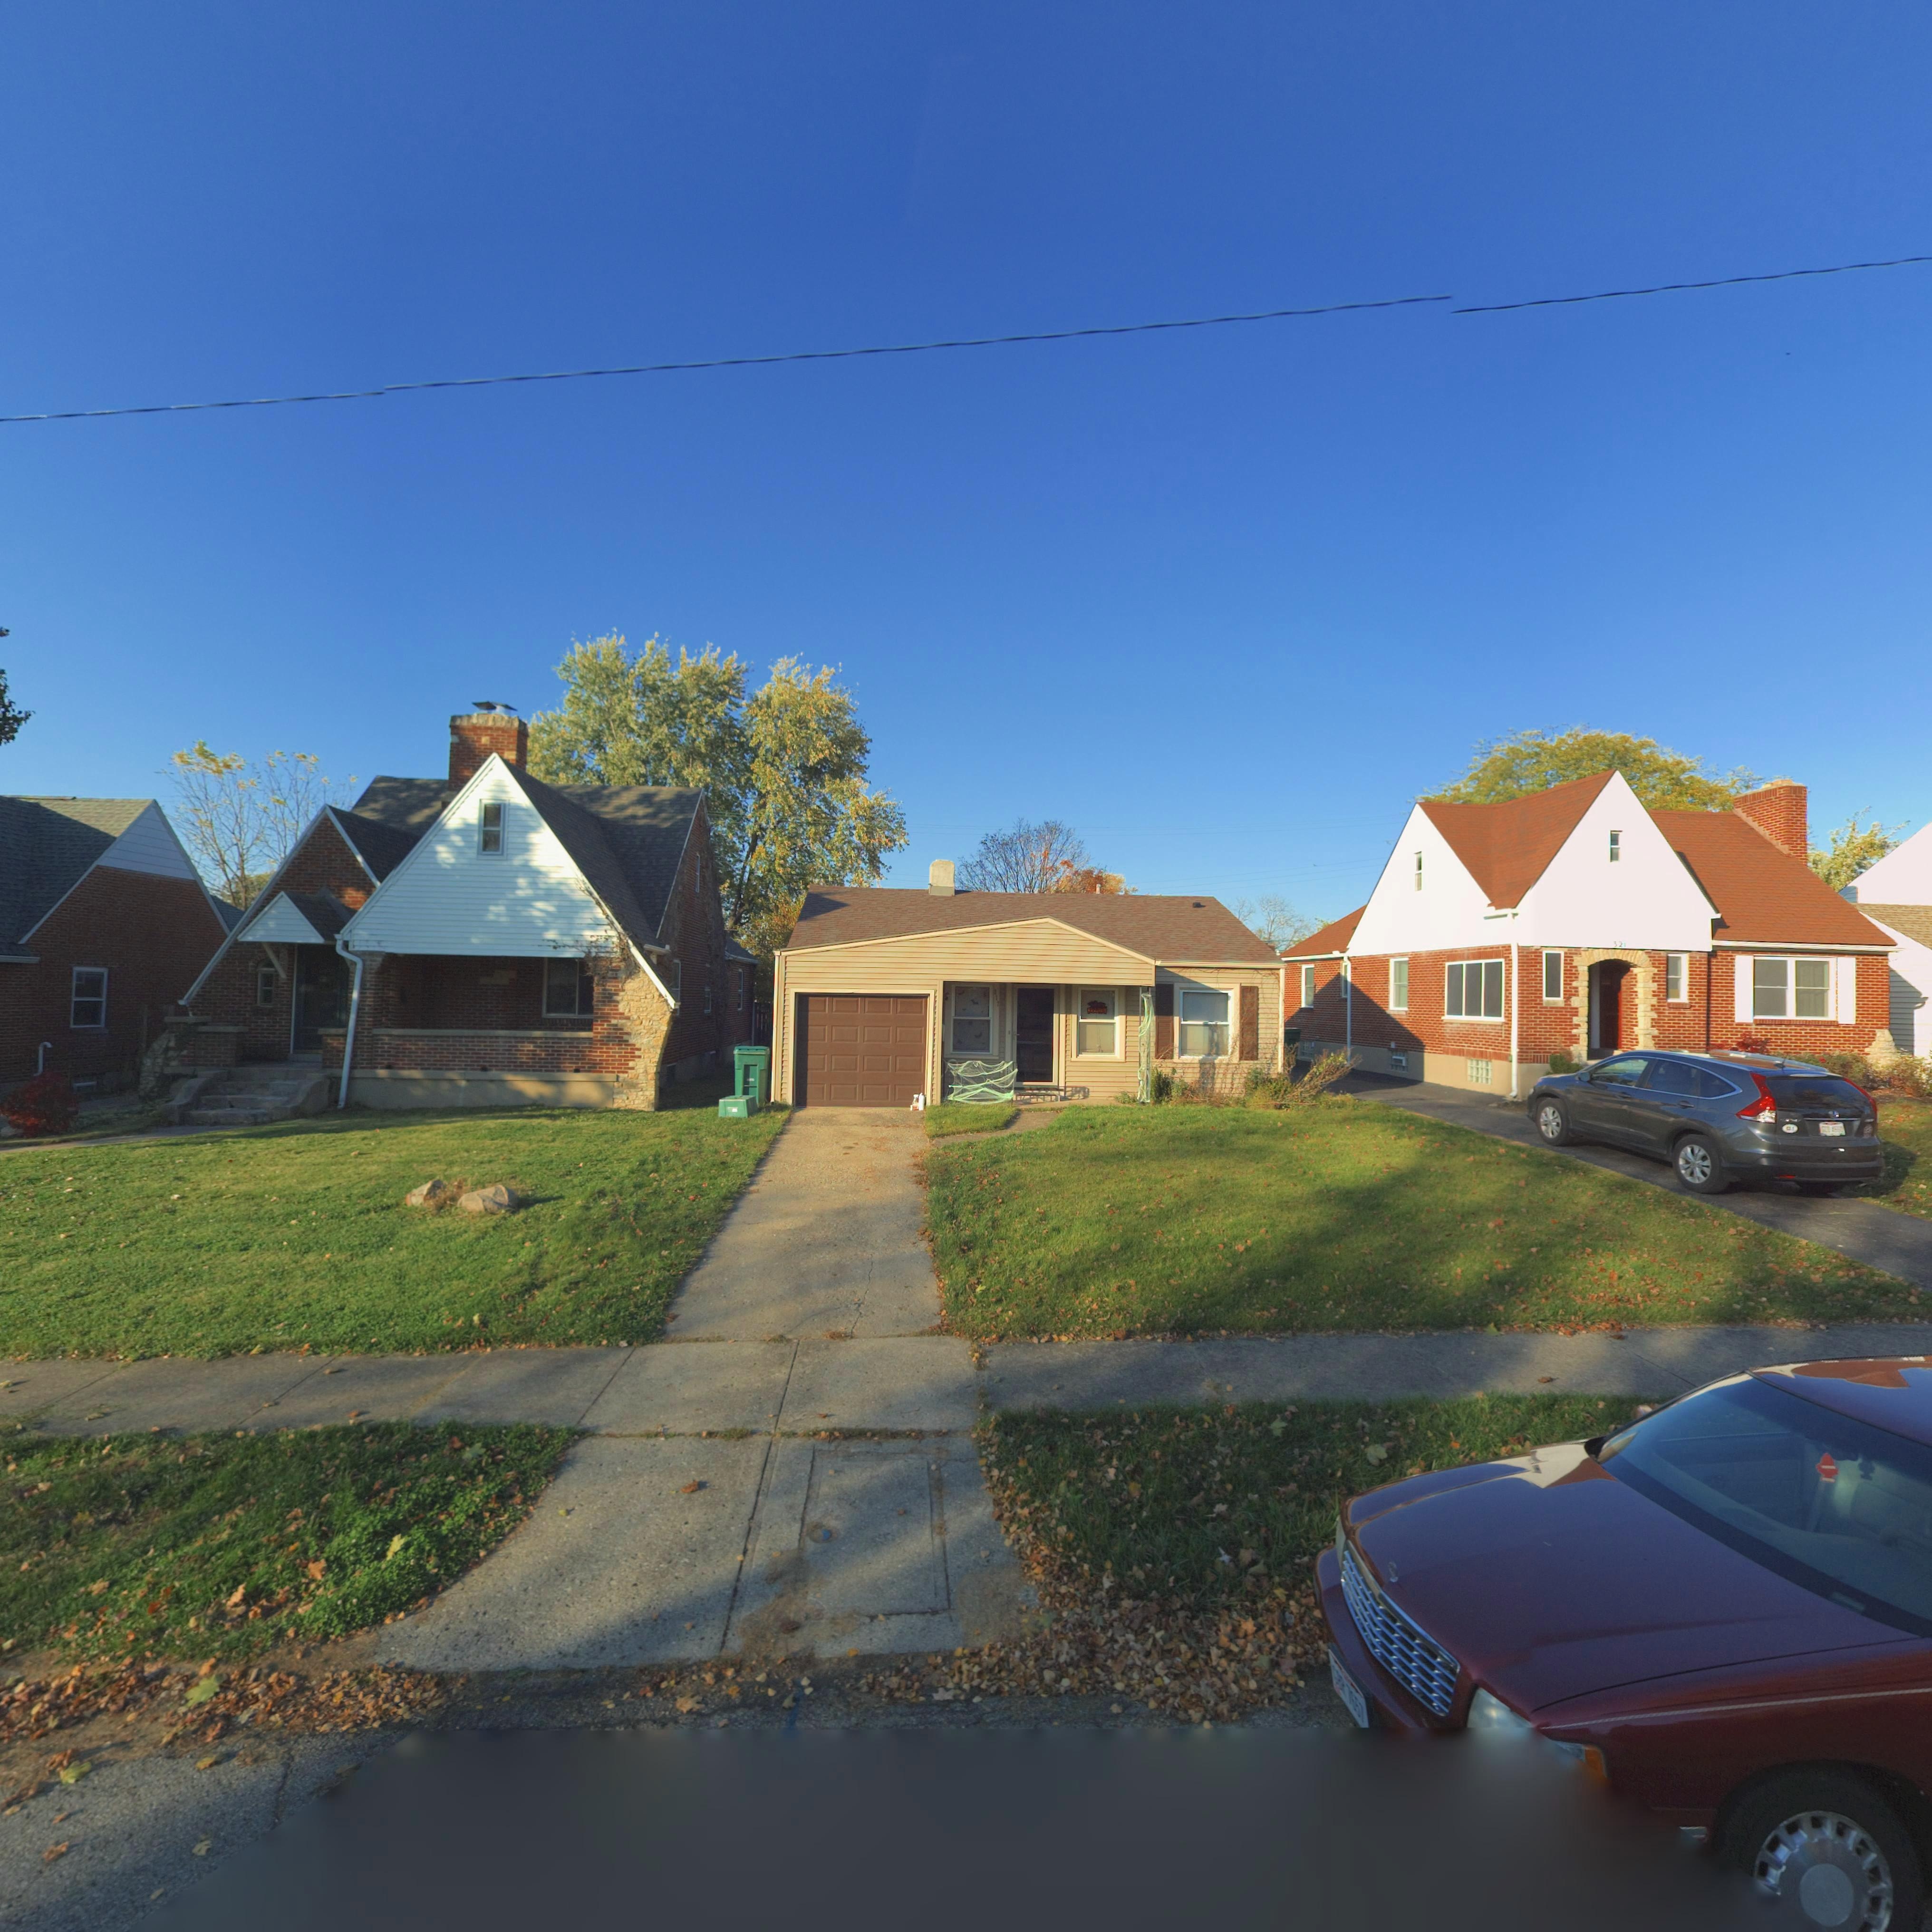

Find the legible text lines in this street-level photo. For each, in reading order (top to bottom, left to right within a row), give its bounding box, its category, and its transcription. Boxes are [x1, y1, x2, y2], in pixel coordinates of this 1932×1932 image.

[1612, 940, 1627, 948] StreetNumber: 321
[993, 988, 1000, 1007] StreetNumber: 317